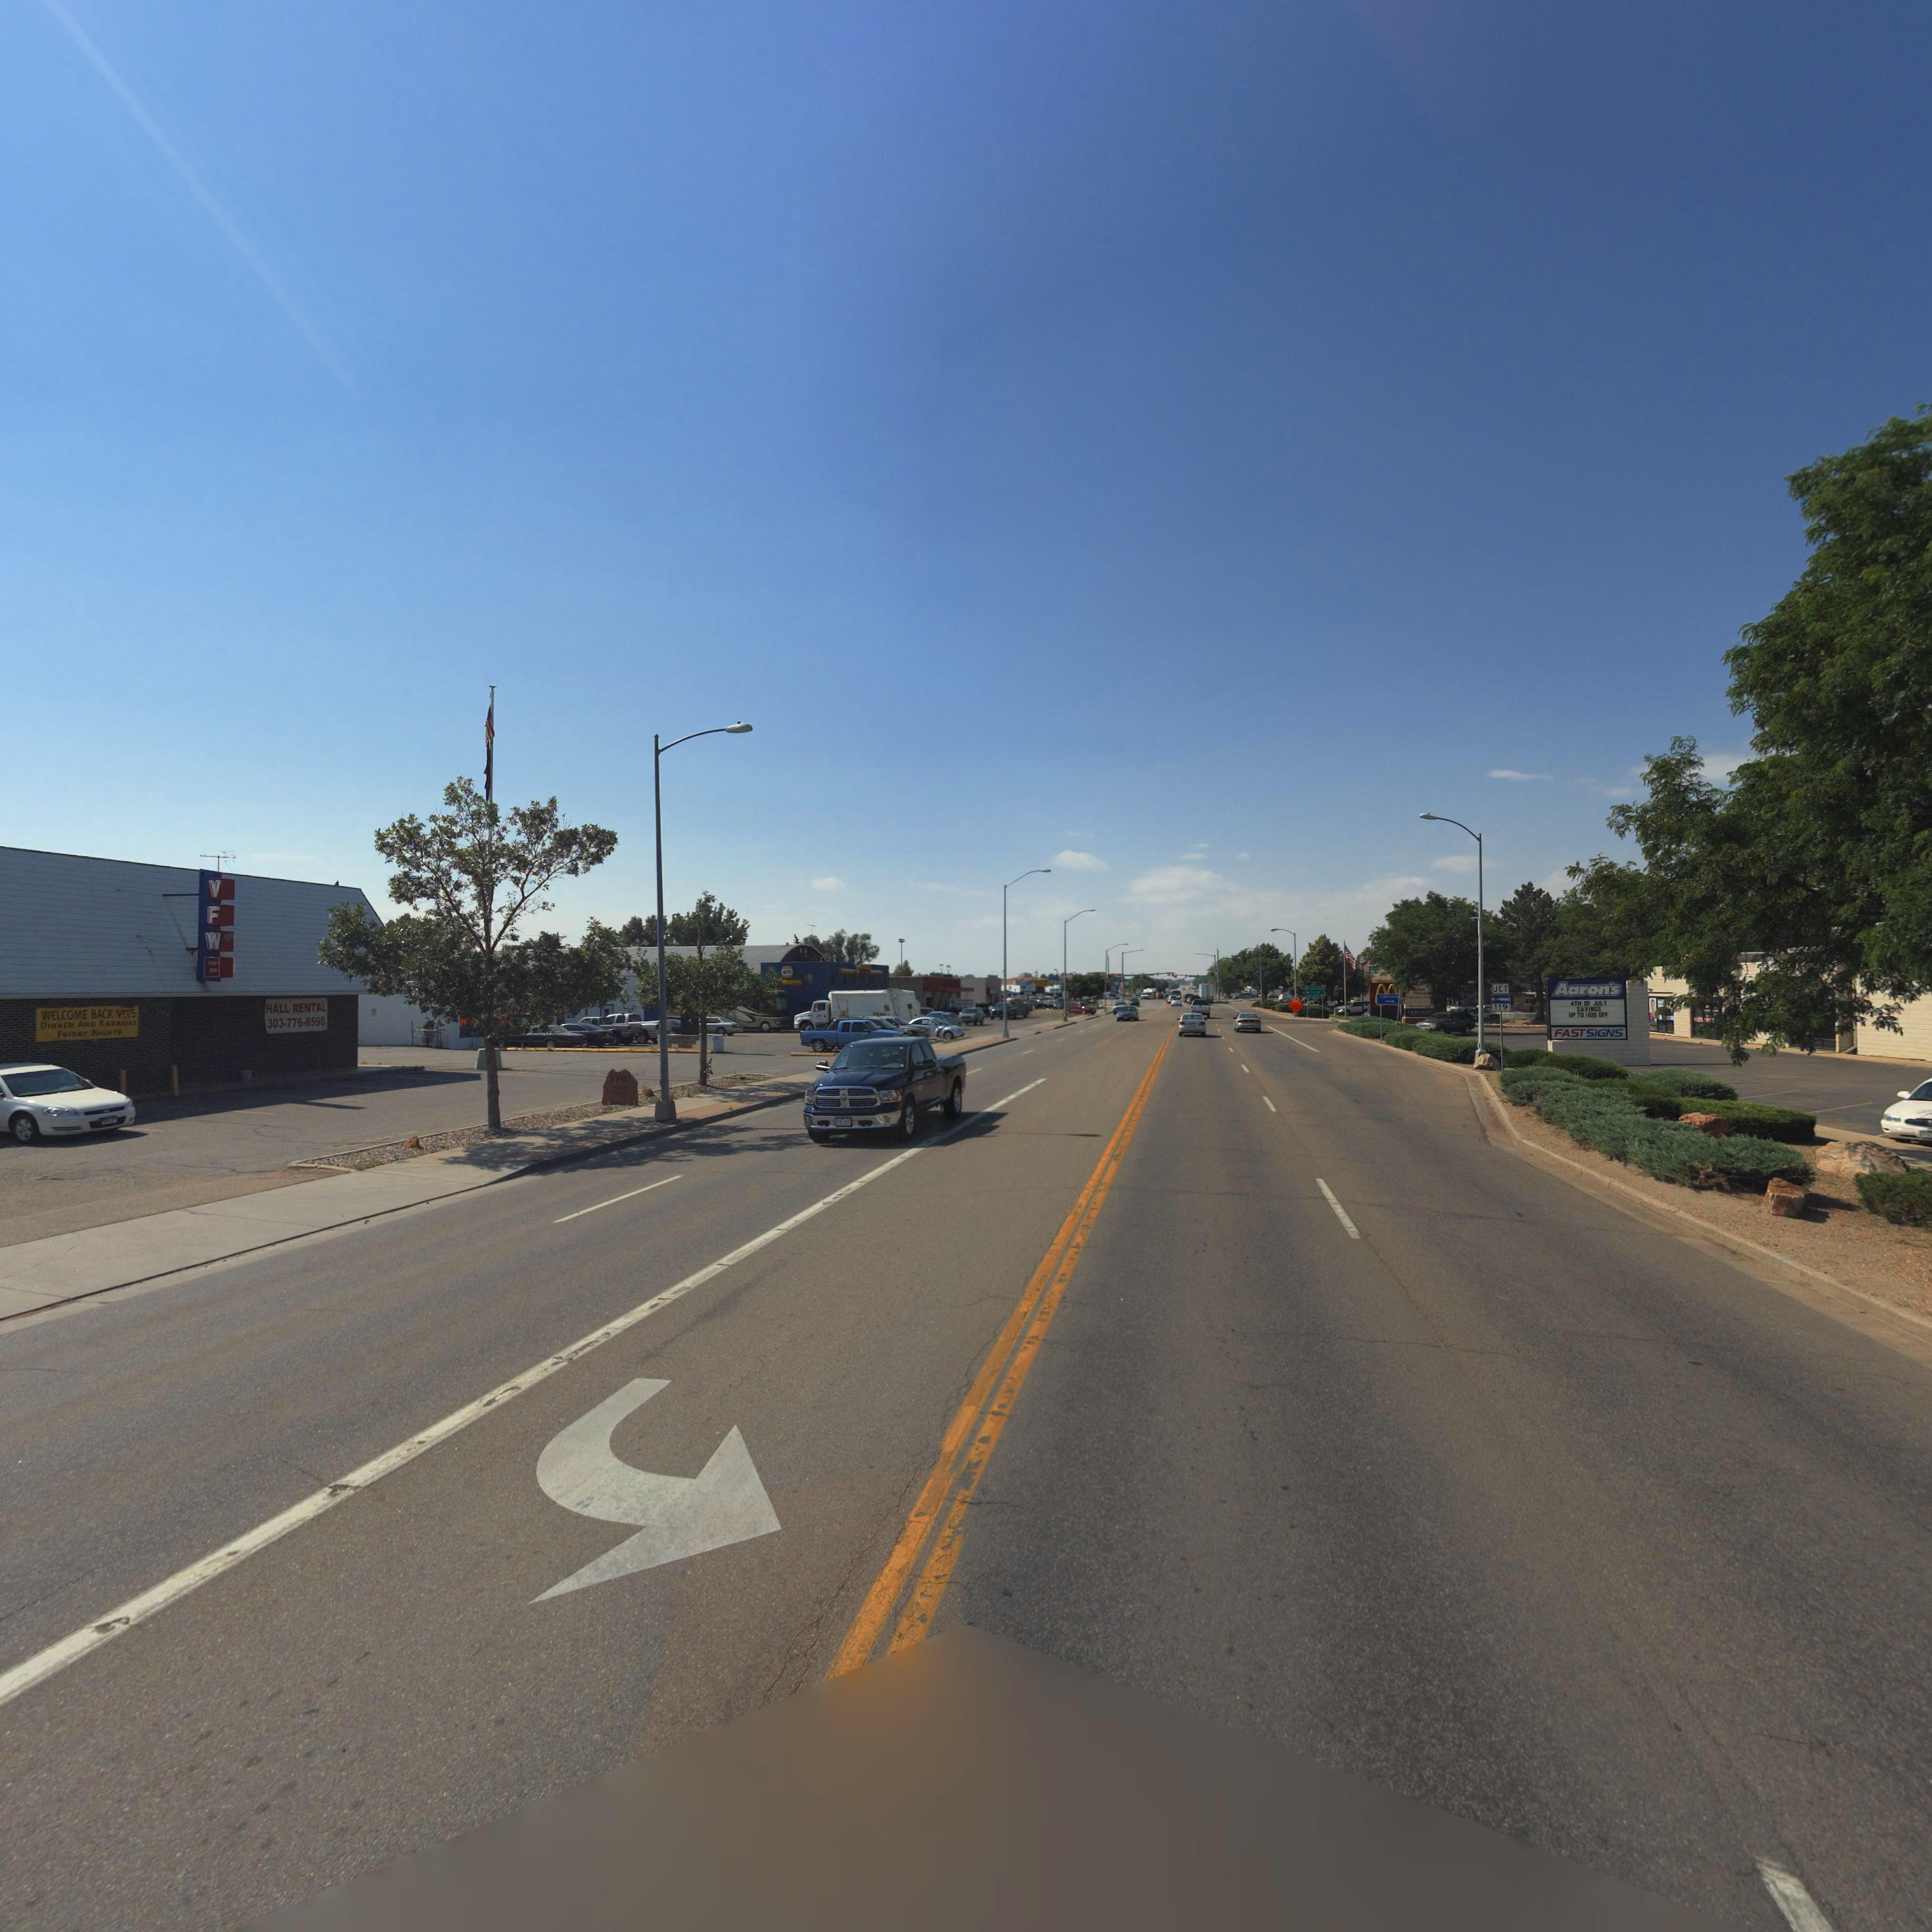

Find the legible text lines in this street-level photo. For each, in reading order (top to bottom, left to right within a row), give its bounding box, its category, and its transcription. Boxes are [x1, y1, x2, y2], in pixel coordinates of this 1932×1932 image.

[205, 878, 222, 951] BusinessName: VFW
[782, 969, 791, 975] BusinessName: N*A
[1552, 981, 1621, 996] BusinessName: Aaron's
[1554, 1028, 1624, 1037] BusinessName: FASTSIGNS